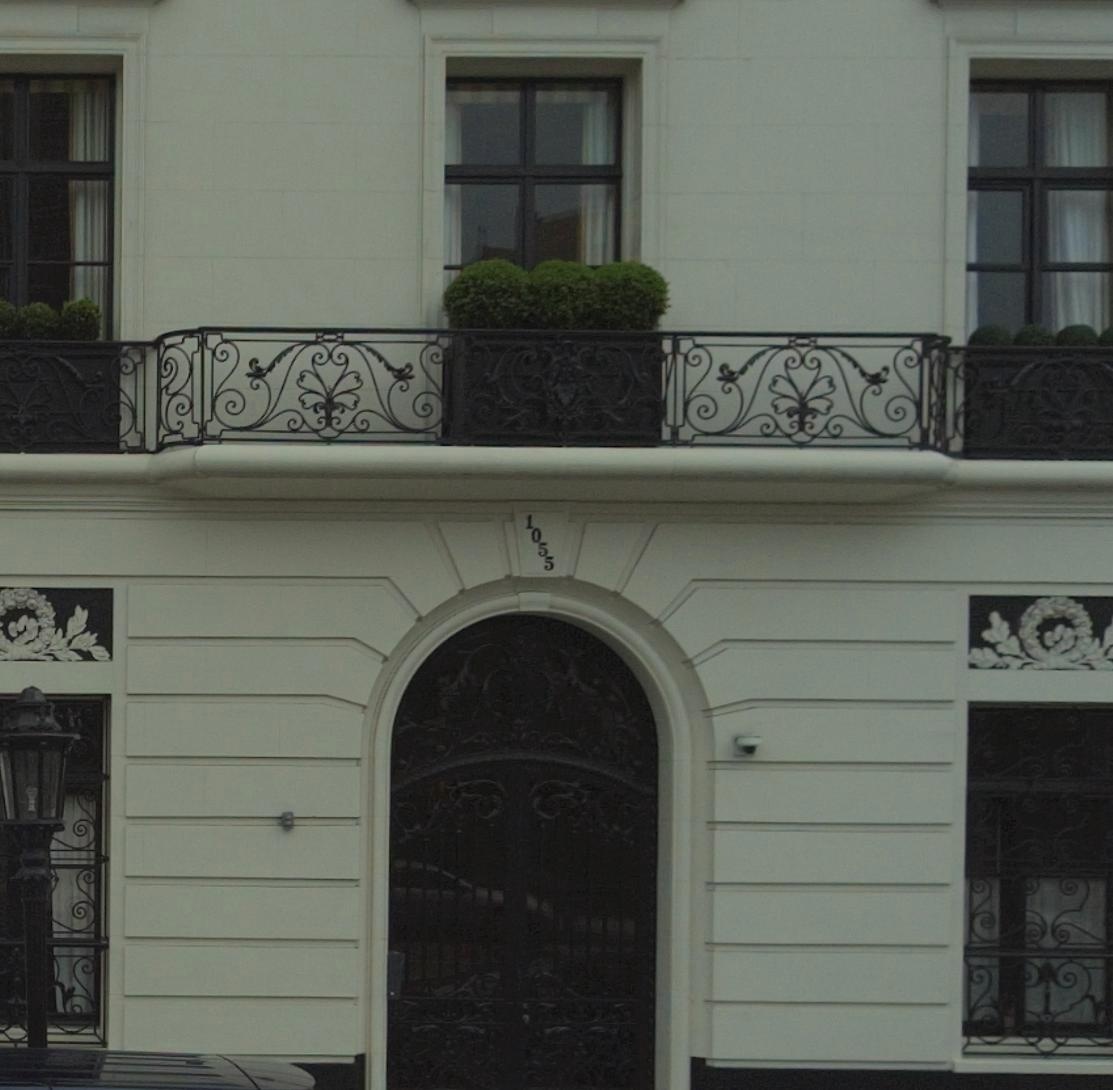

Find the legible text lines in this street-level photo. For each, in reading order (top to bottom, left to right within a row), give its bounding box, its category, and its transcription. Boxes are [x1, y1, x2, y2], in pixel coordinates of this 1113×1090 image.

[524, 511, 558, 573] StreetNumber: 1055